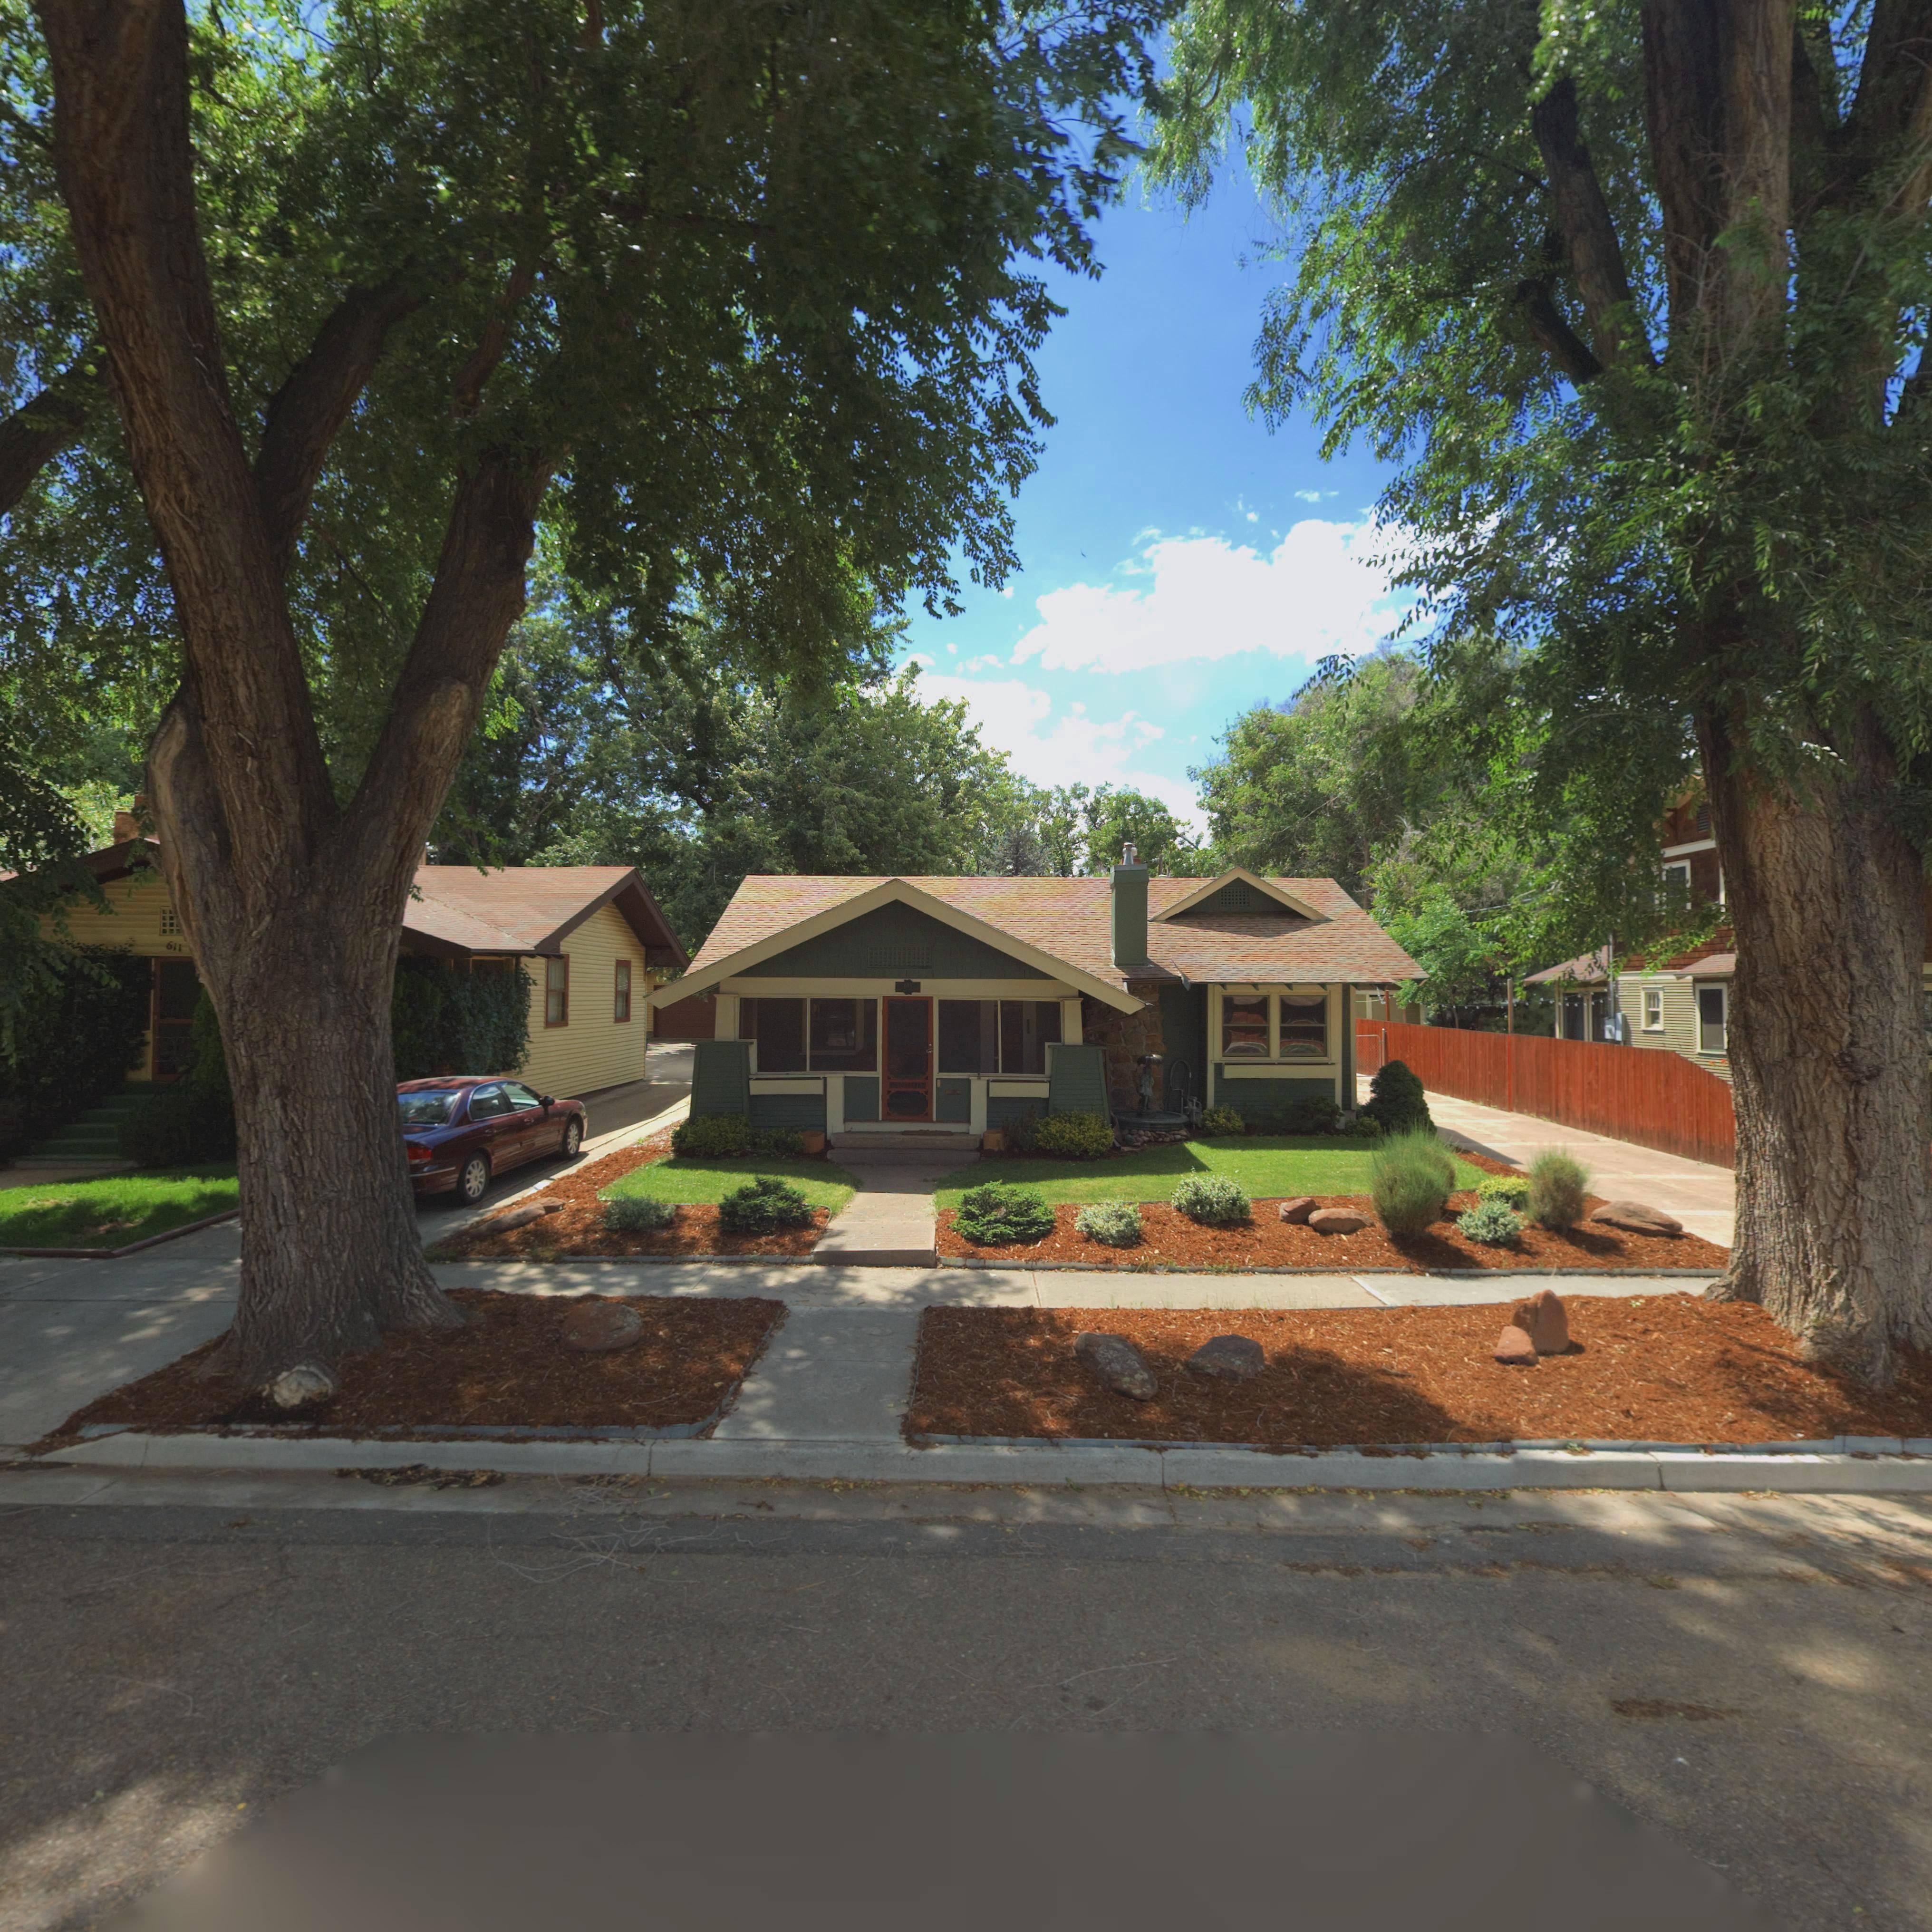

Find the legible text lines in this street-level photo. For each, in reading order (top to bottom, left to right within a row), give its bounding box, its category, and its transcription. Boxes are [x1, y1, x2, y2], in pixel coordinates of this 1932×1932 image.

[164, 939, 182, 953] StreetNumber: 611